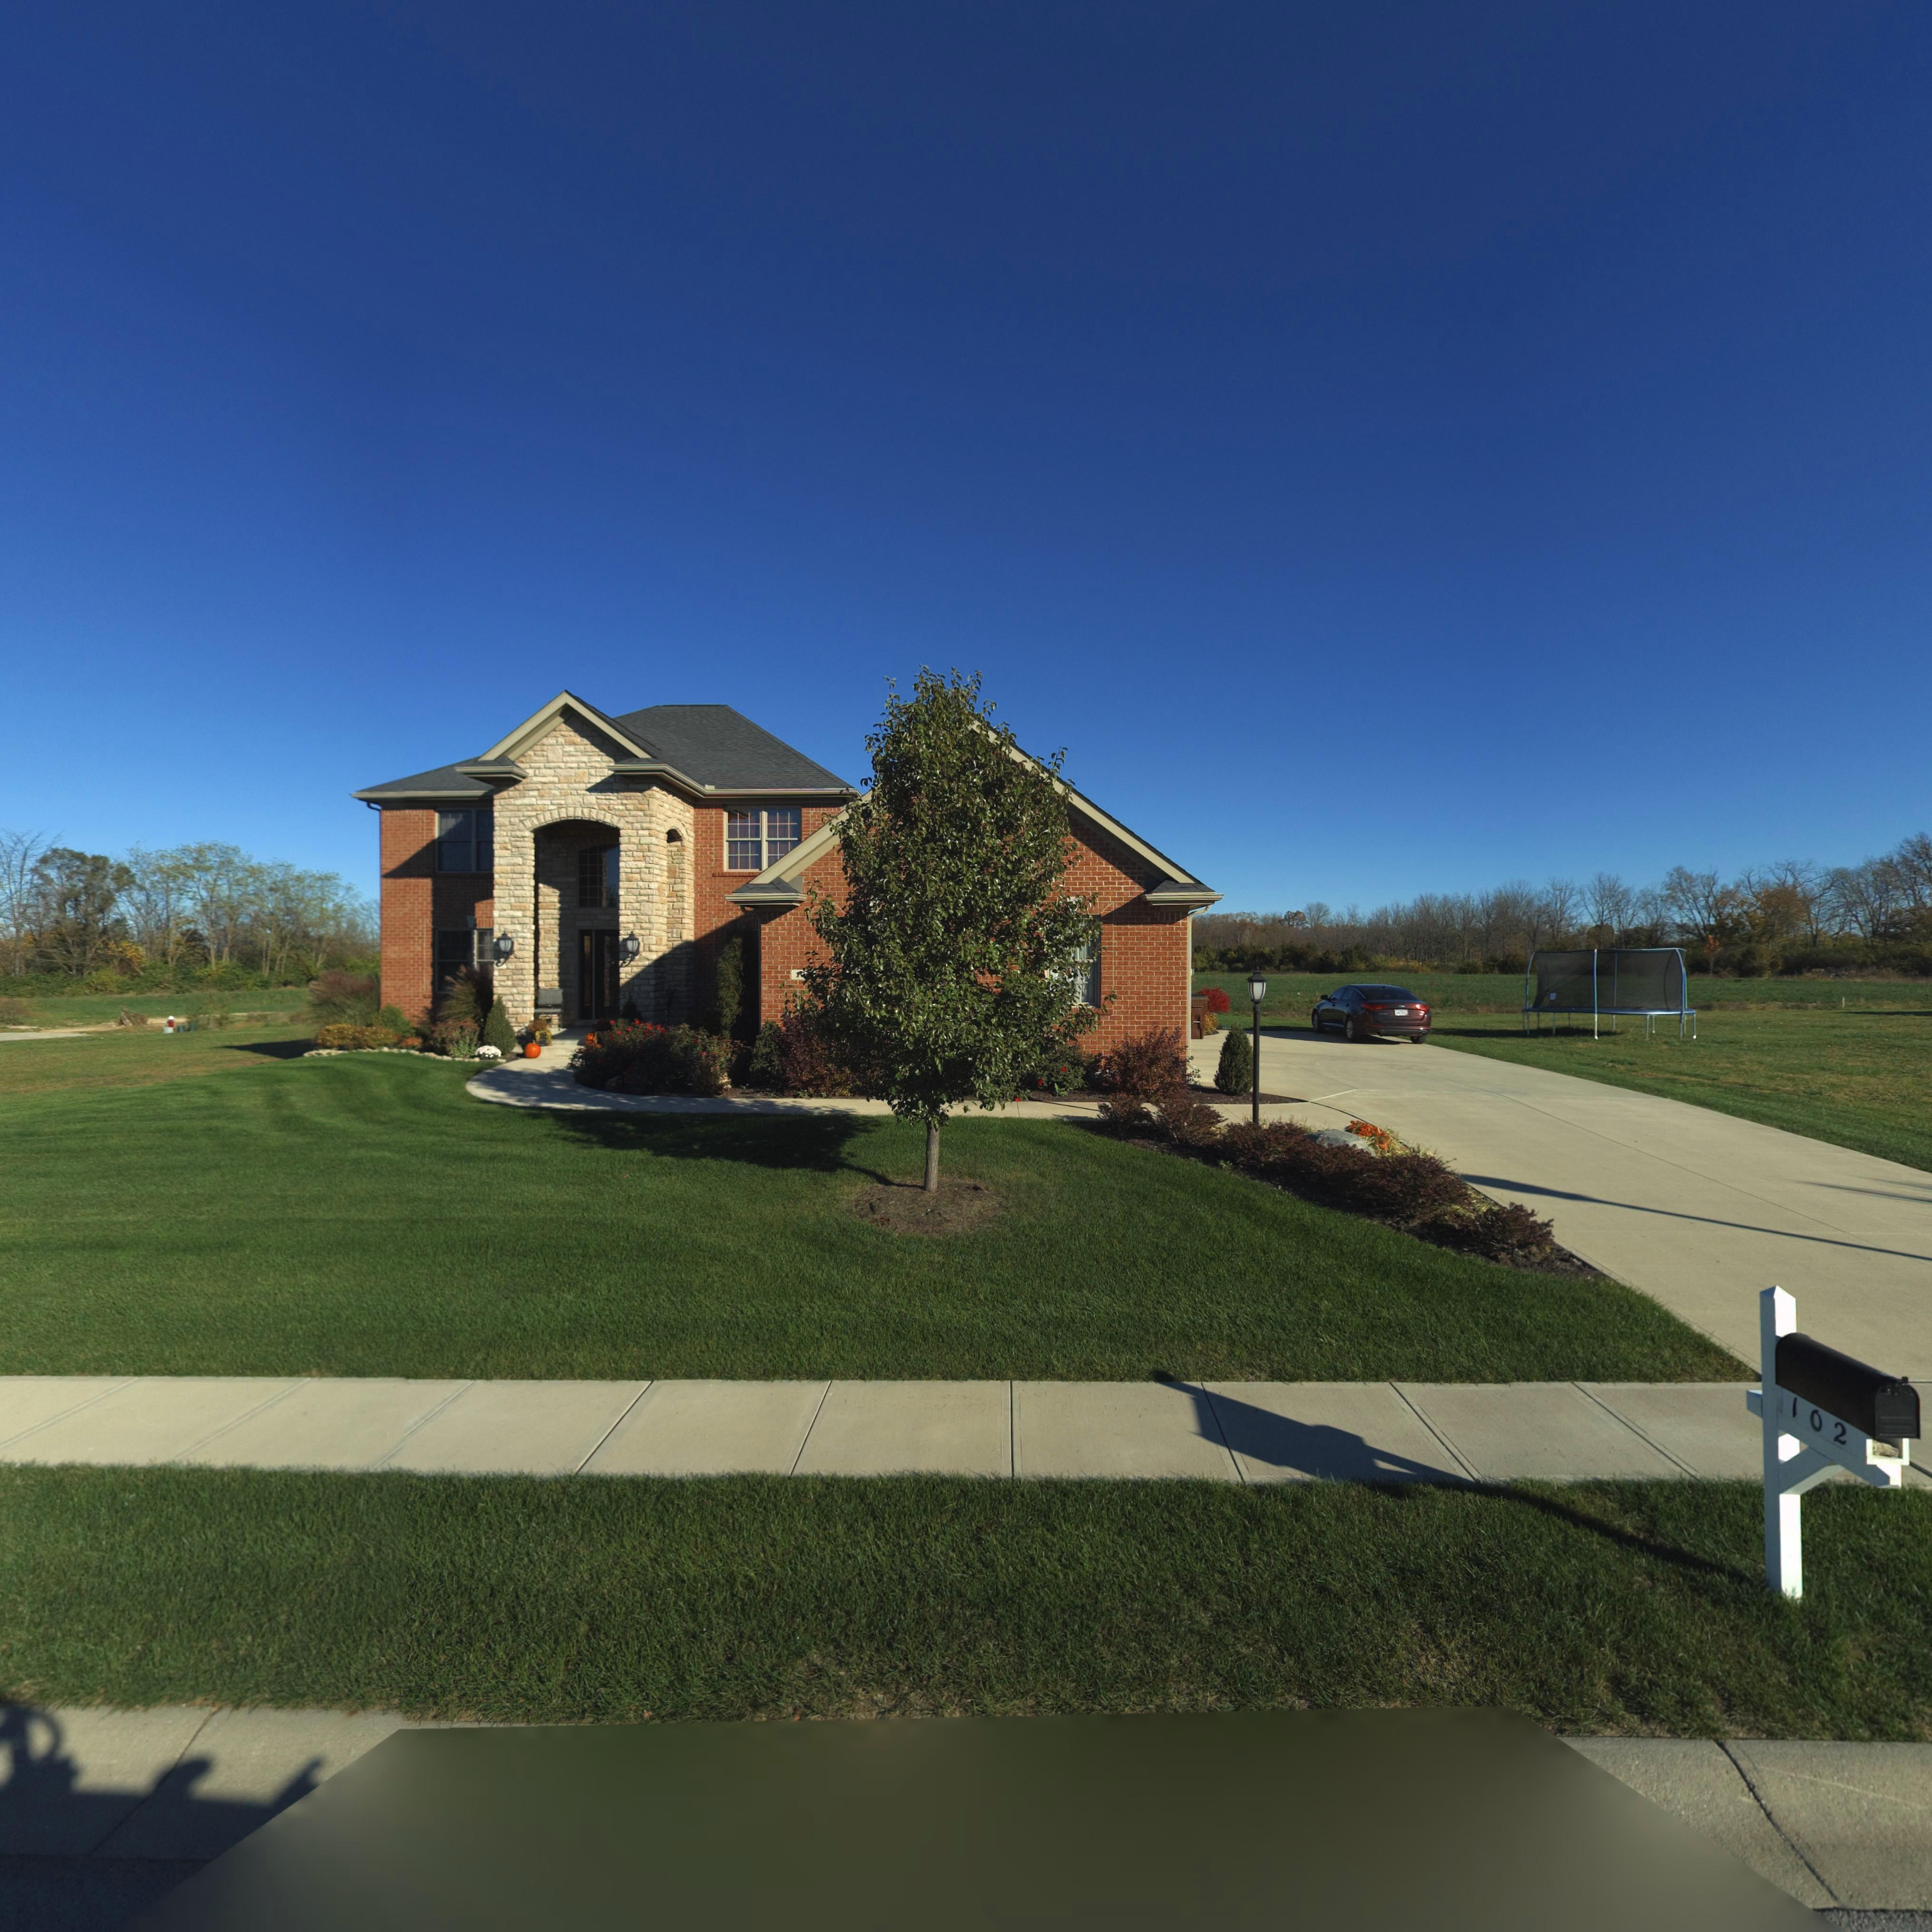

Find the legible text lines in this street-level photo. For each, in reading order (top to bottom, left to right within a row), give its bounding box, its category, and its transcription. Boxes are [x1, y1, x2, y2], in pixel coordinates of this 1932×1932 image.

[1791, 1395, 1848, 1447] StreetNumber: 102